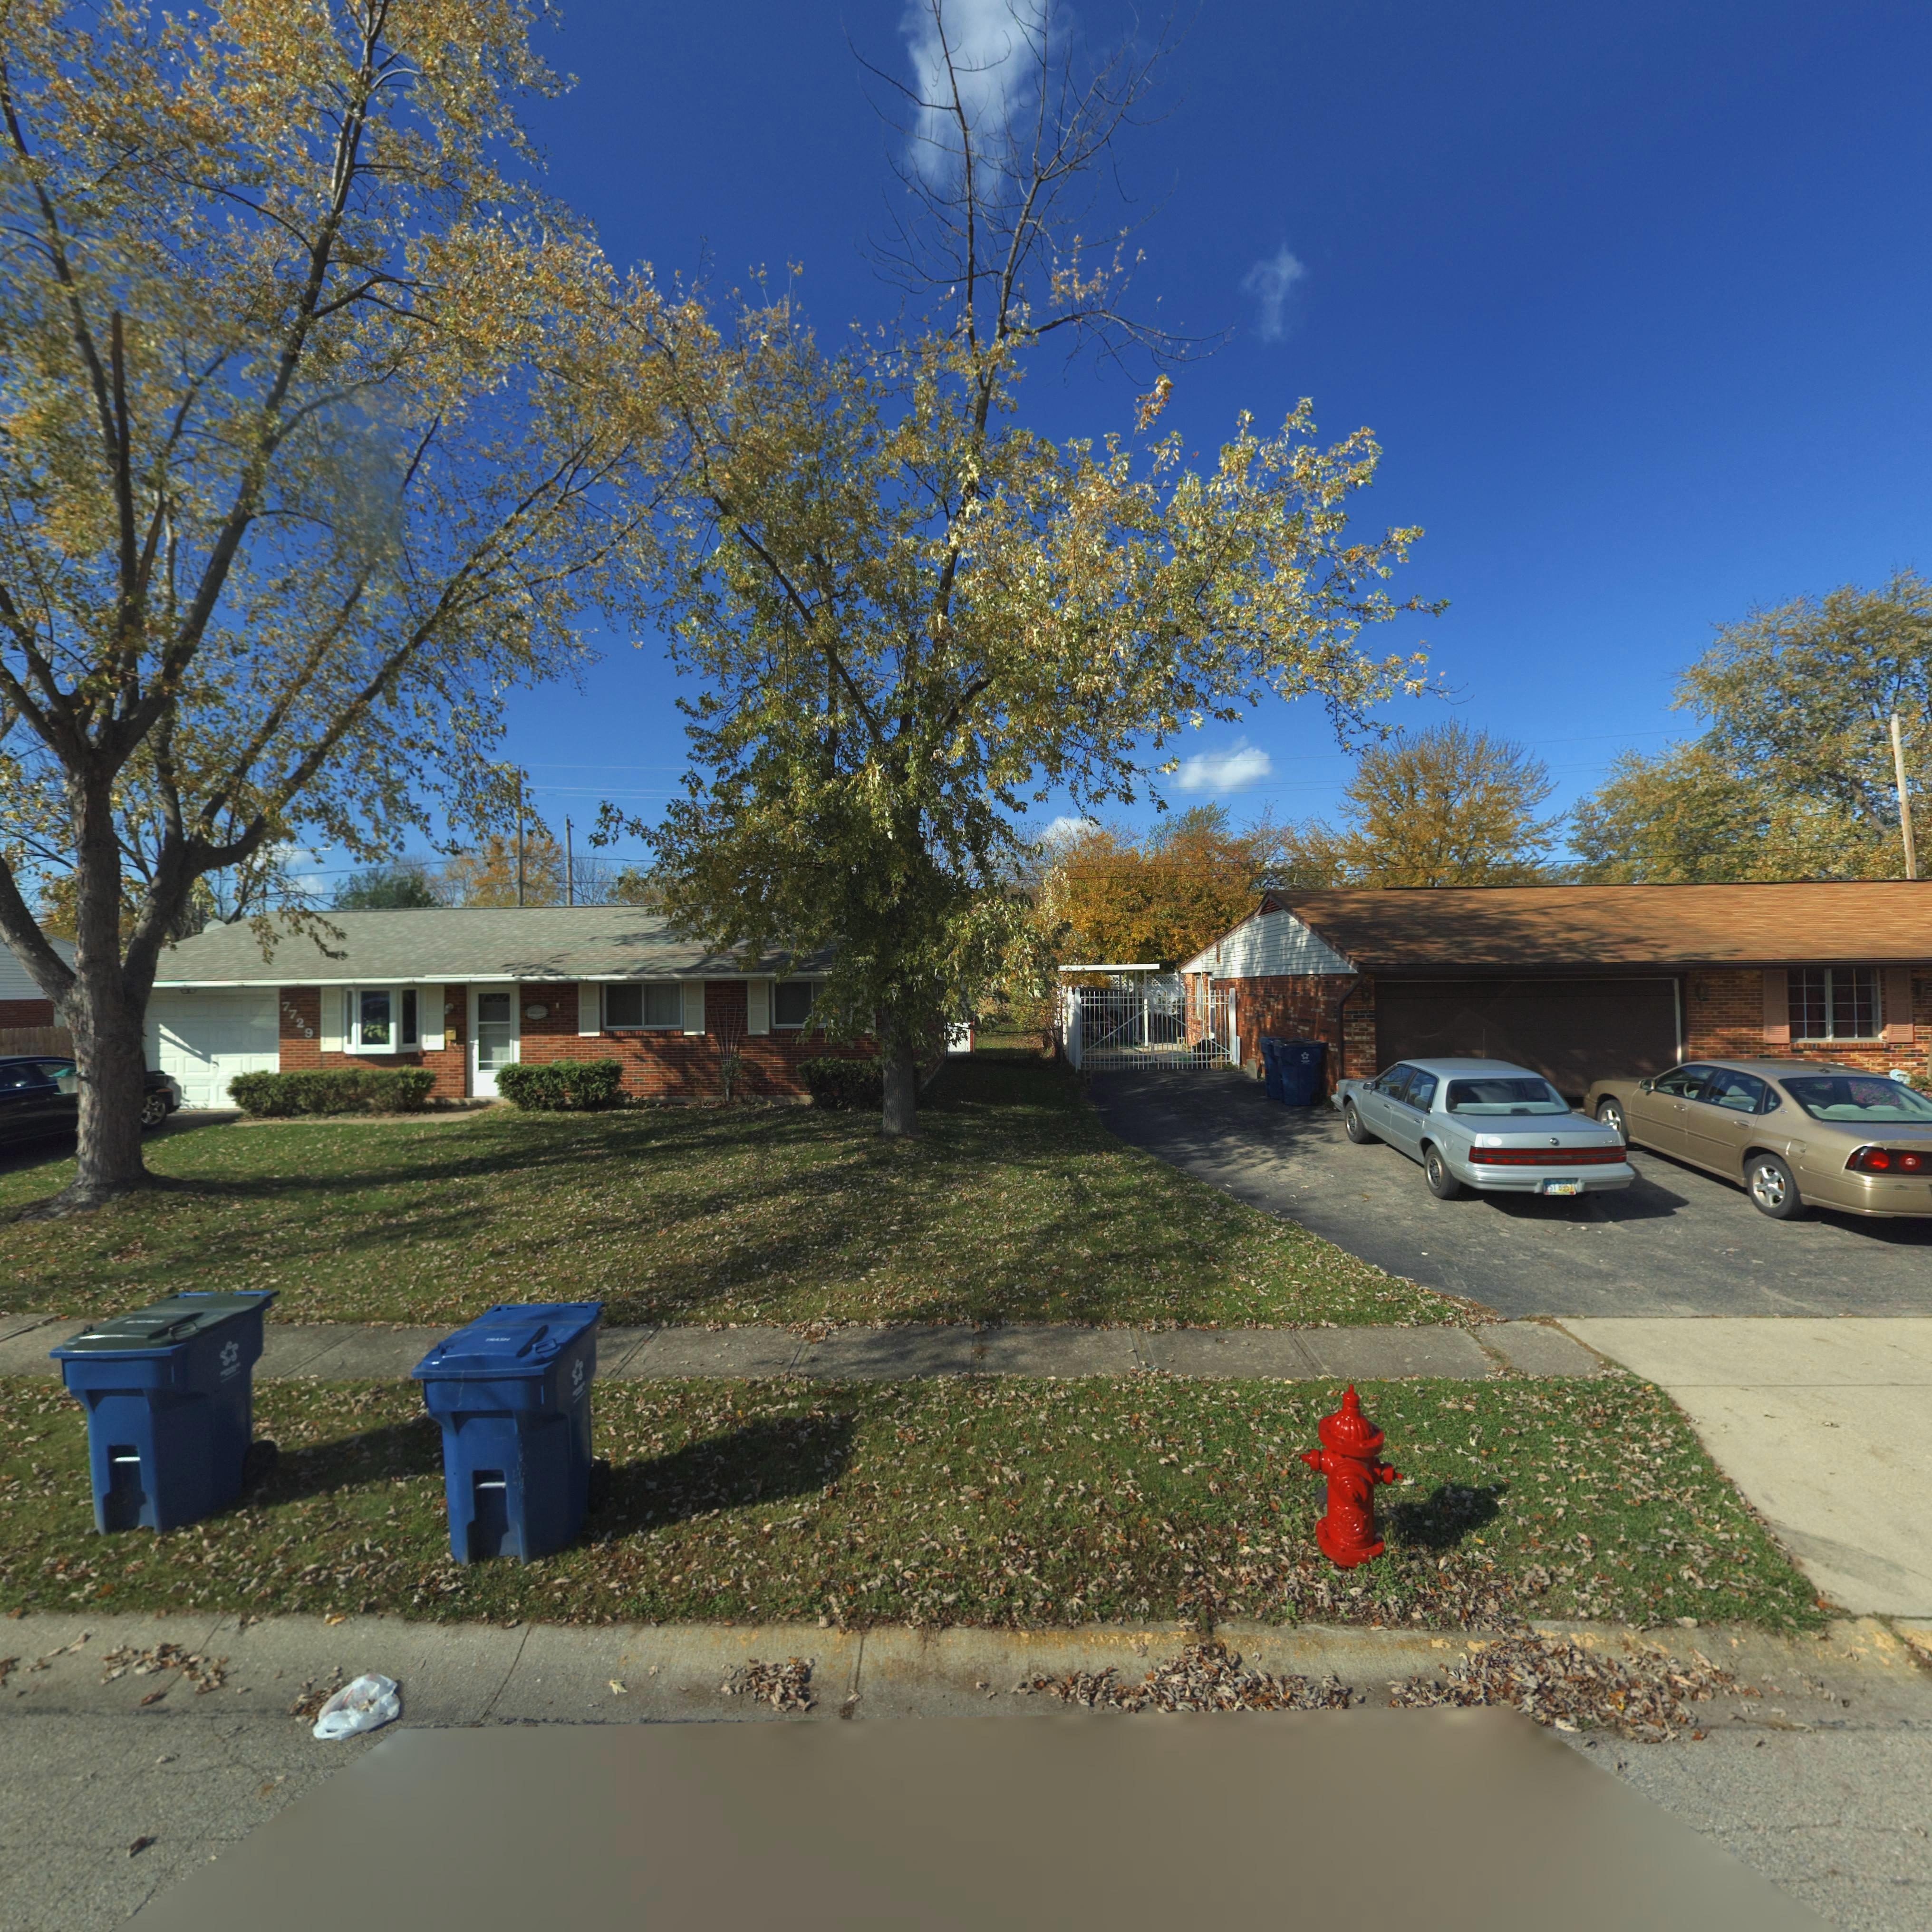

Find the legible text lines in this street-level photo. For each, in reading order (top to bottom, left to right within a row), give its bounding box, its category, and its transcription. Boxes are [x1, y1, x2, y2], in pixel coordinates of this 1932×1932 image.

[280, 1000, 315, 1040] StreetNumber: 7729